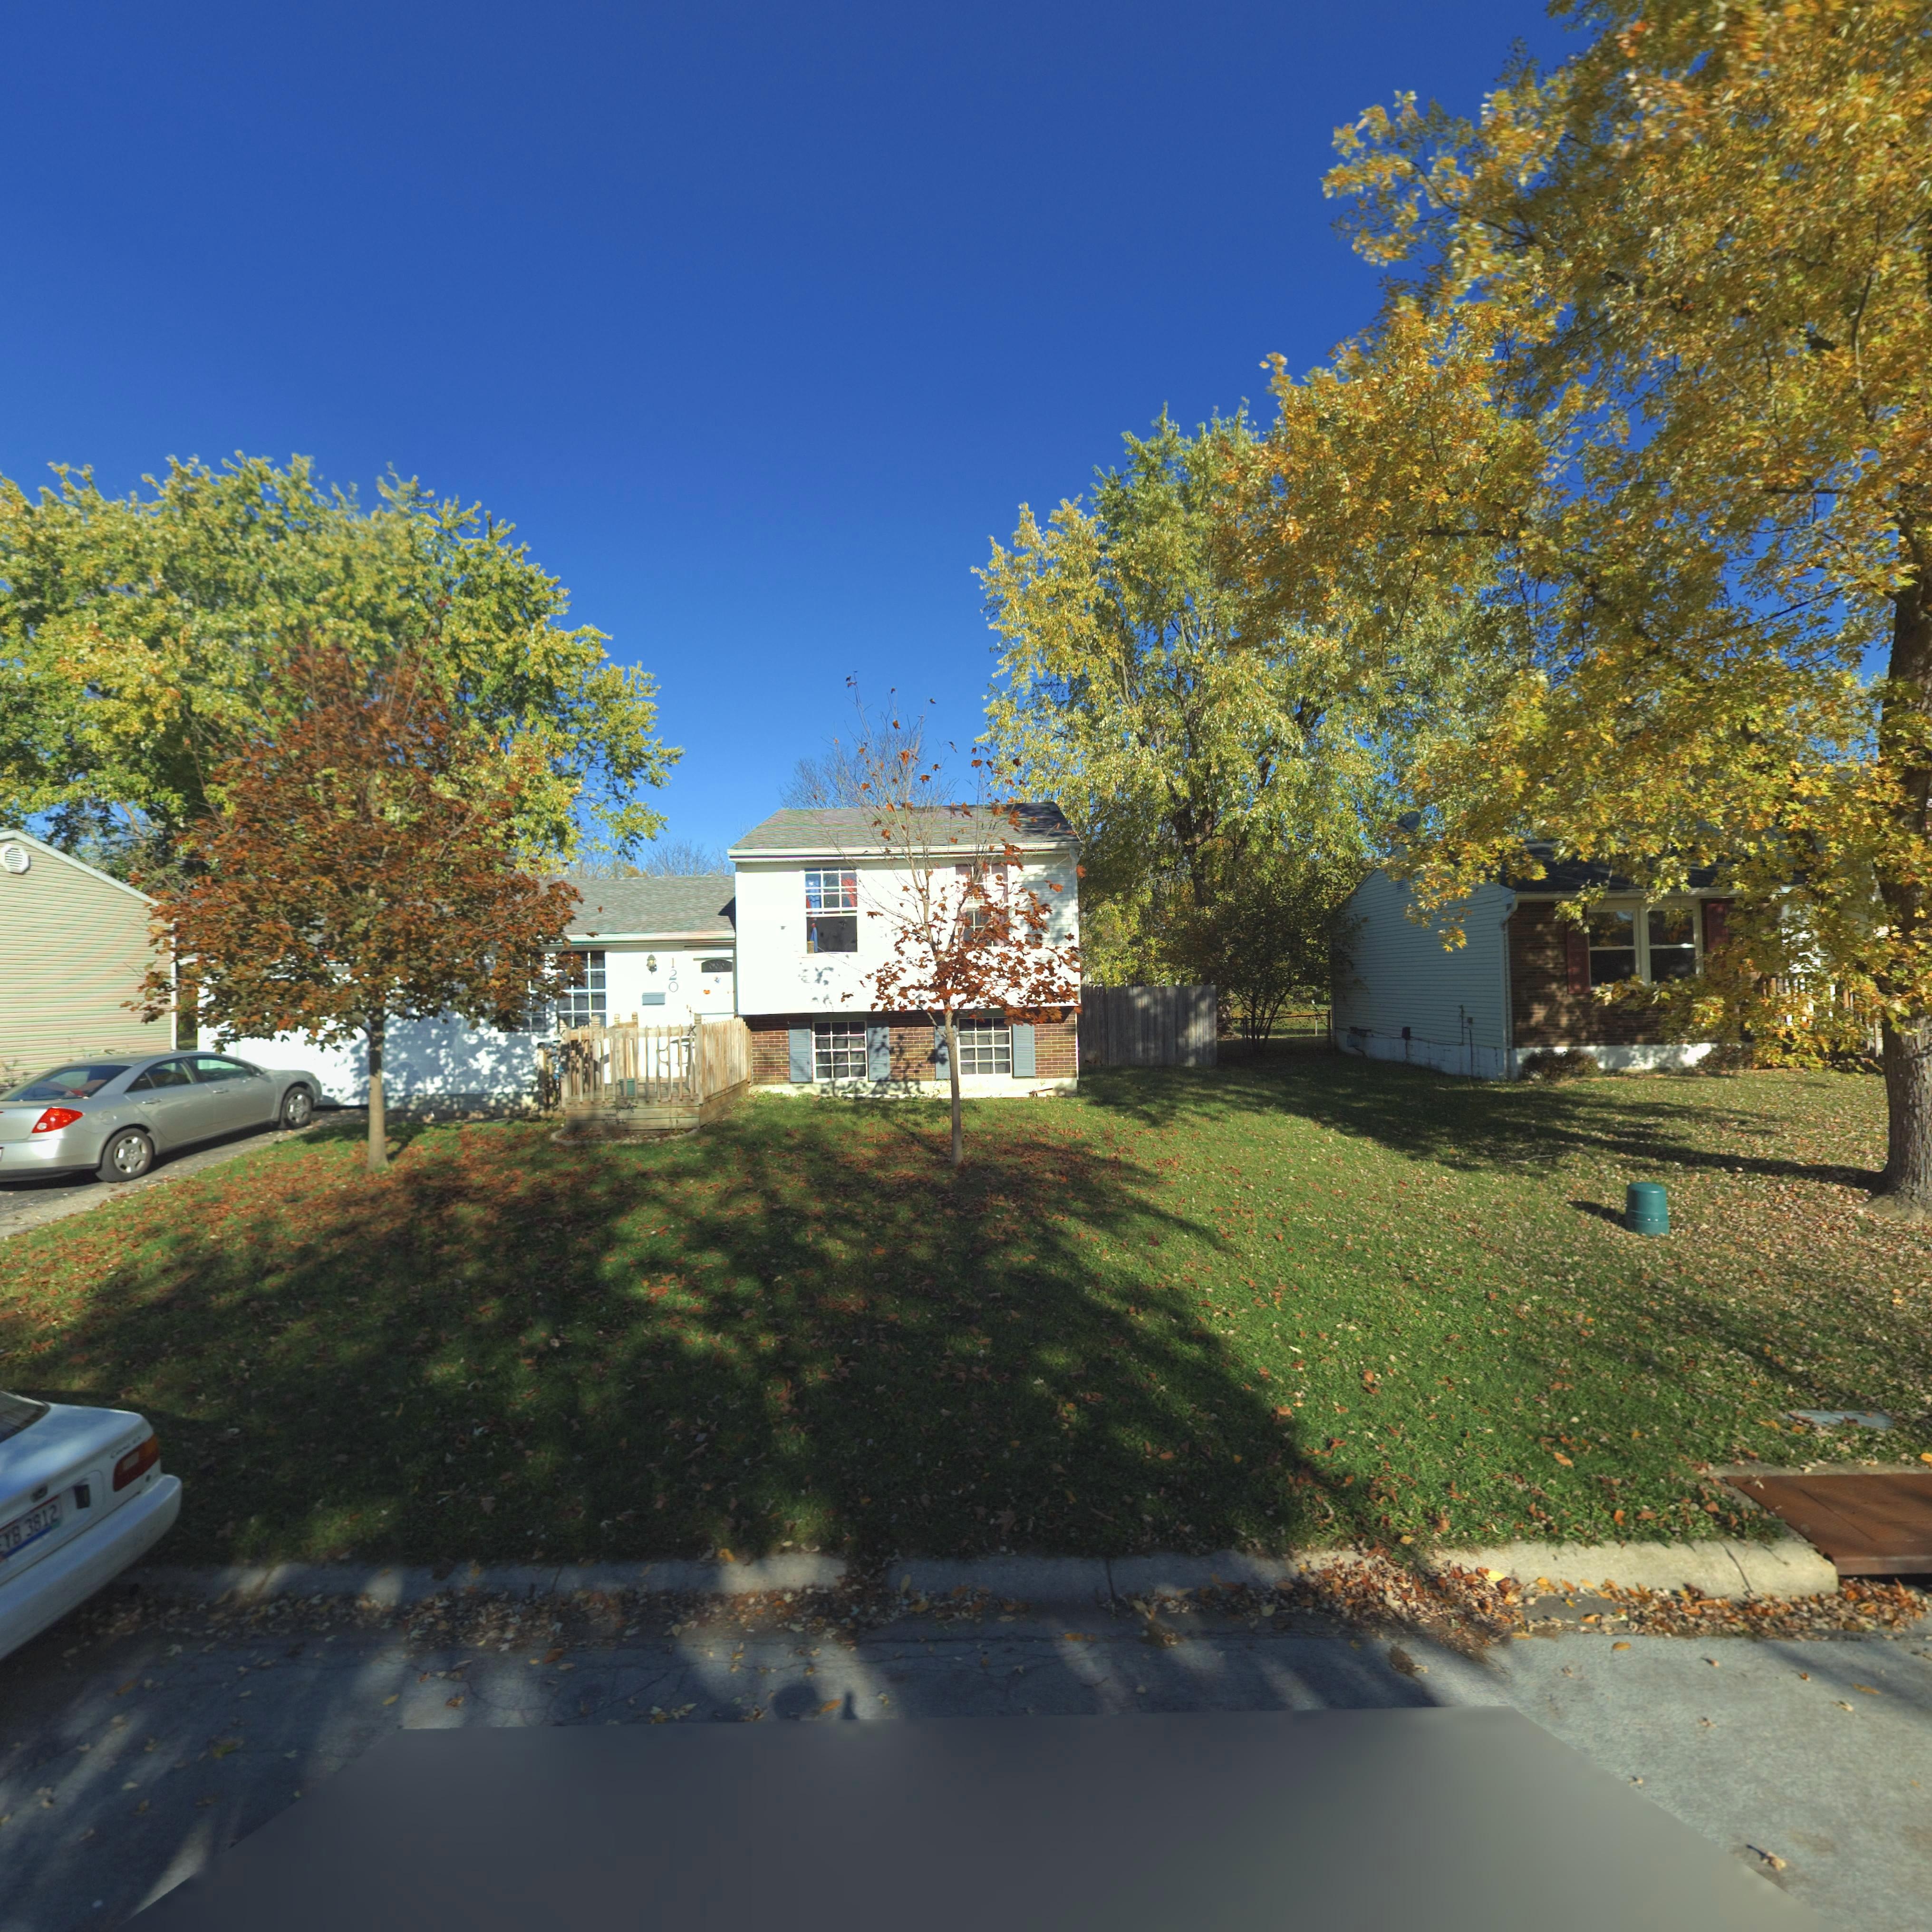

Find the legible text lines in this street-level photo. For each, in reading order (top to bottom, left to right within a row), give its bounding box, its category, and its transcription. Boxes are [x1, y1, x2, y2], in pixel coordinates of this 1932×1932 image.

[668, 957, 679, 993] StreetNumber: 120